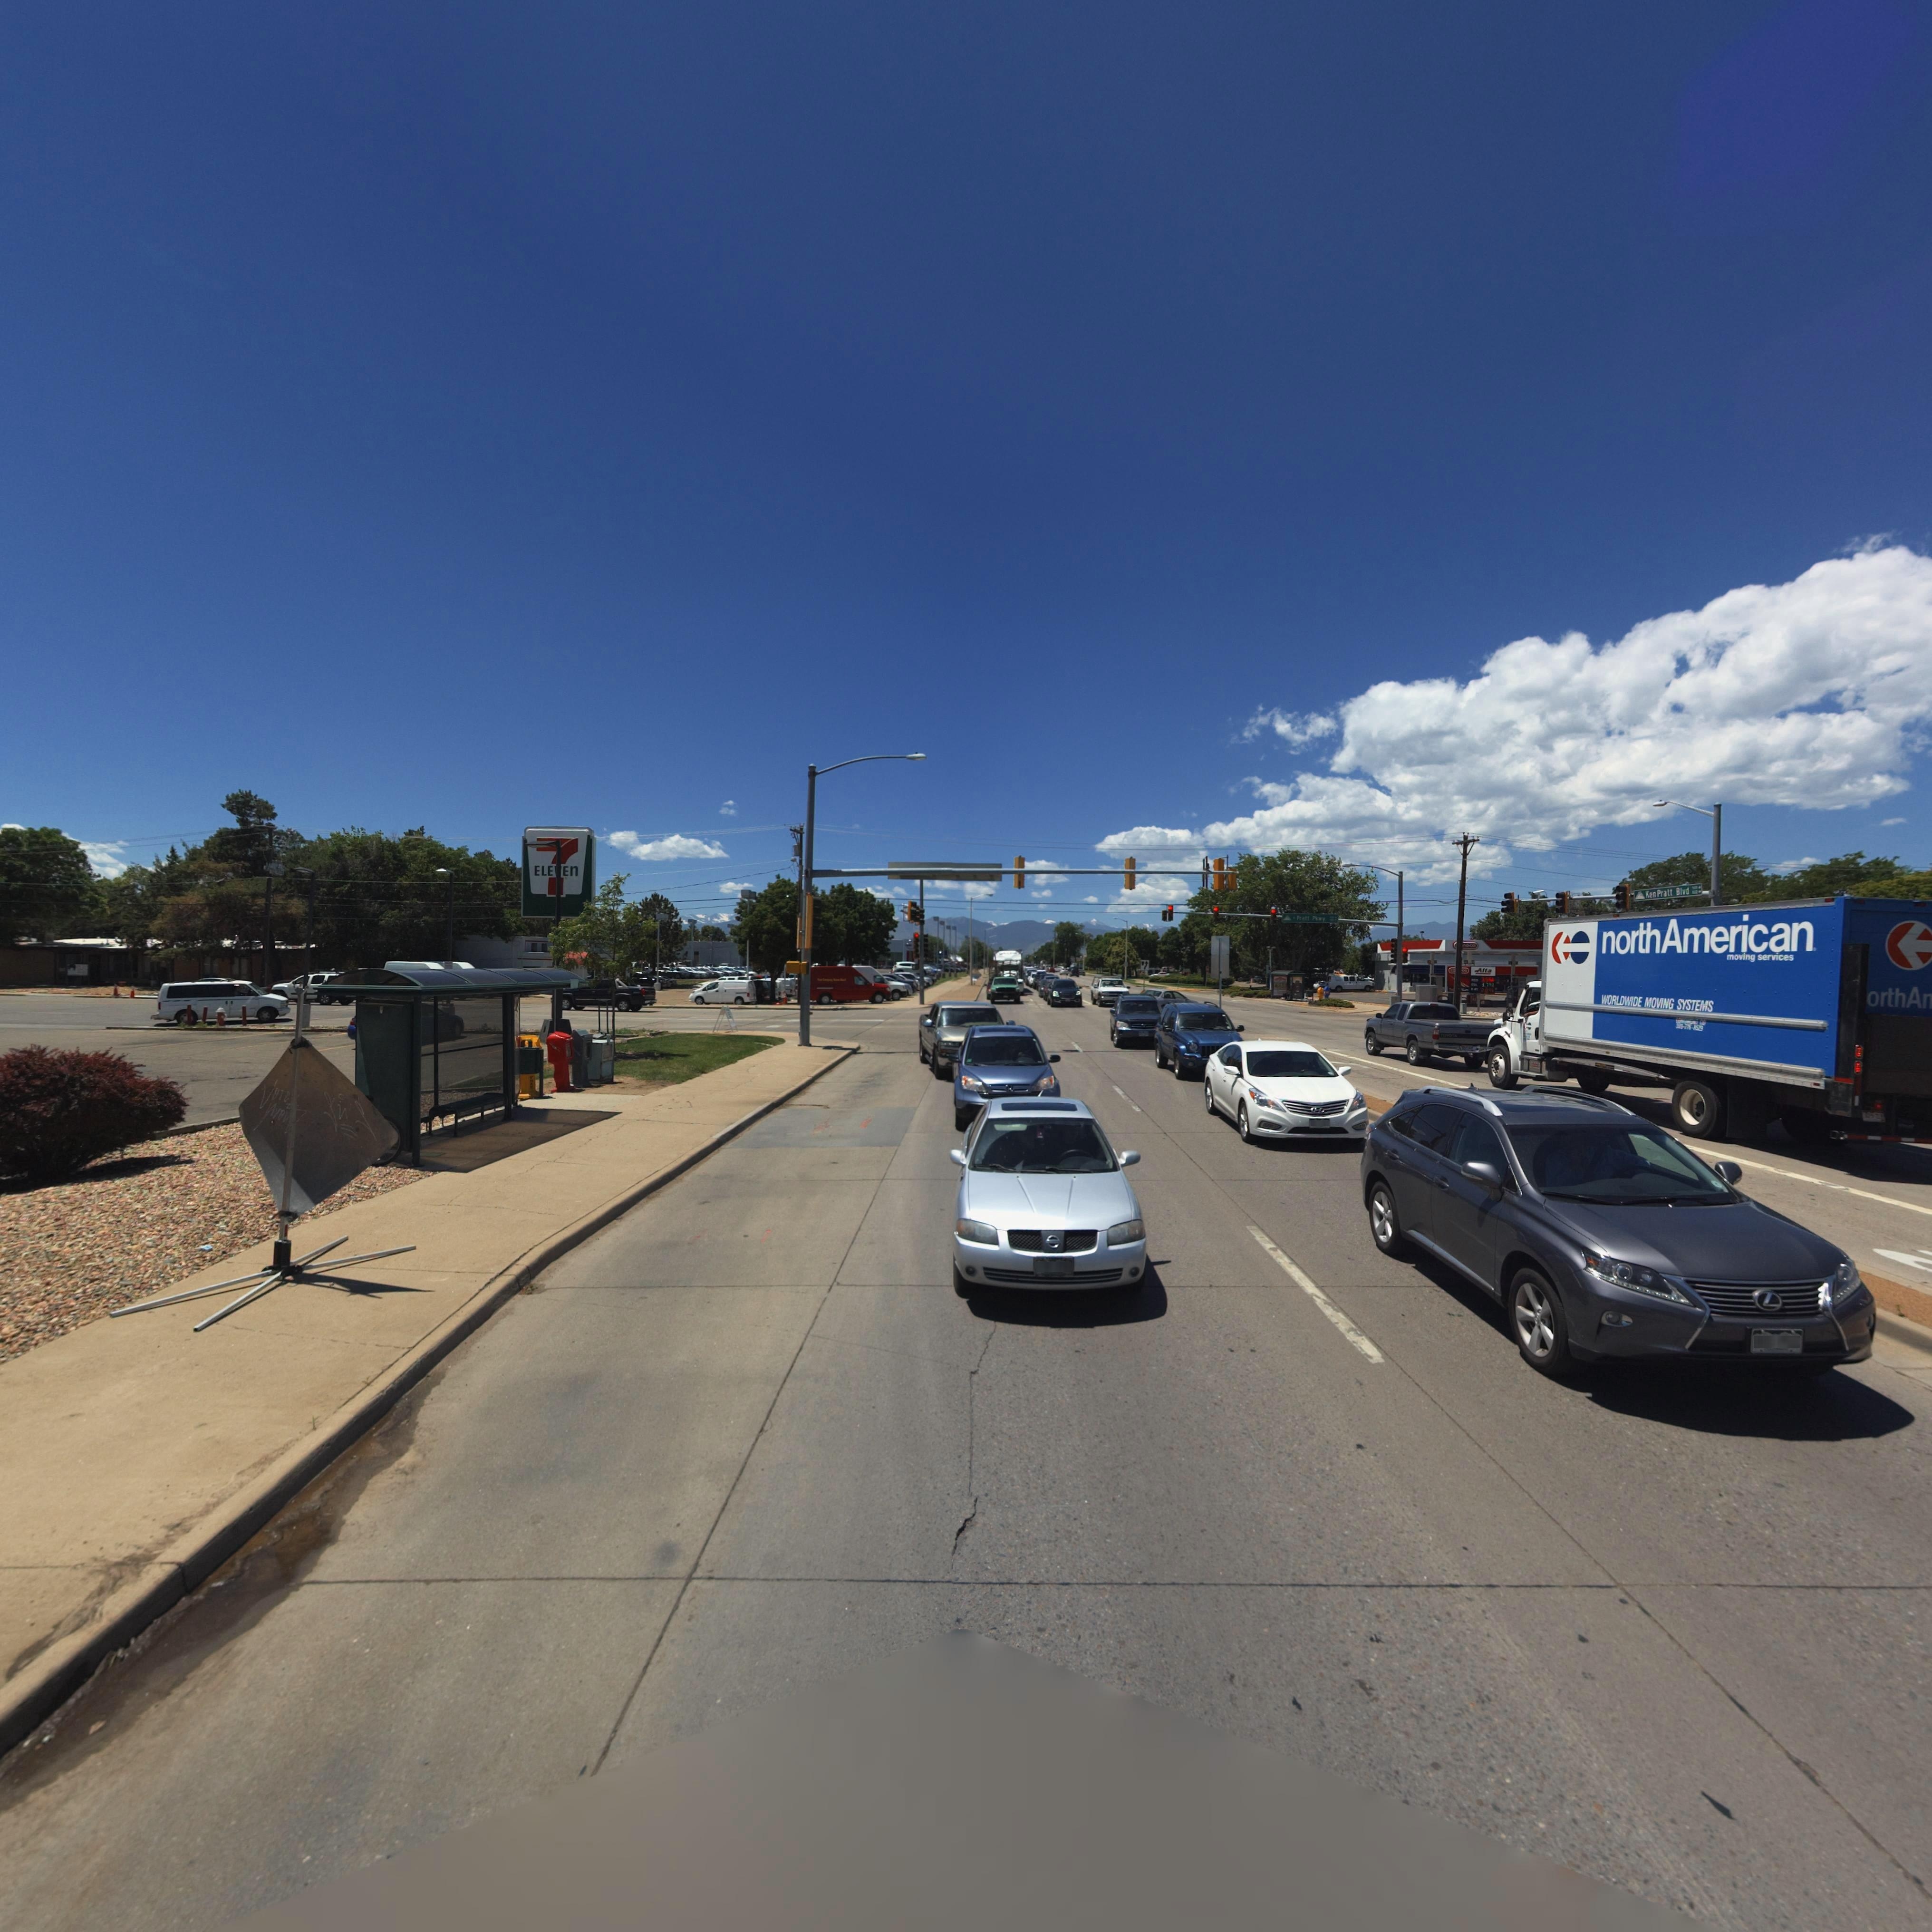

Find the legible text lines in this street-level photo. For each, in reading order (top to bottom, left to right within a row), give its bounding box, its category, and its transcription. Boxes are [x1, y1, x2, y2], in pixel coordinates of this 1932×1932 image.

[534, 865, 579, 877] BusinessName: ELEVEn
[536, 837, 578, 895] BusinessName: 7
[1645, 886, 1690, 898] StreetName: Ken Pratt Blvd
[1296, 915, 1326, 921] StreetName: Pratt Pk**
[1462, 943, 1476, 947] BusinessName: noco
[1450, 969, 1467, 972] BusinessName: ****co